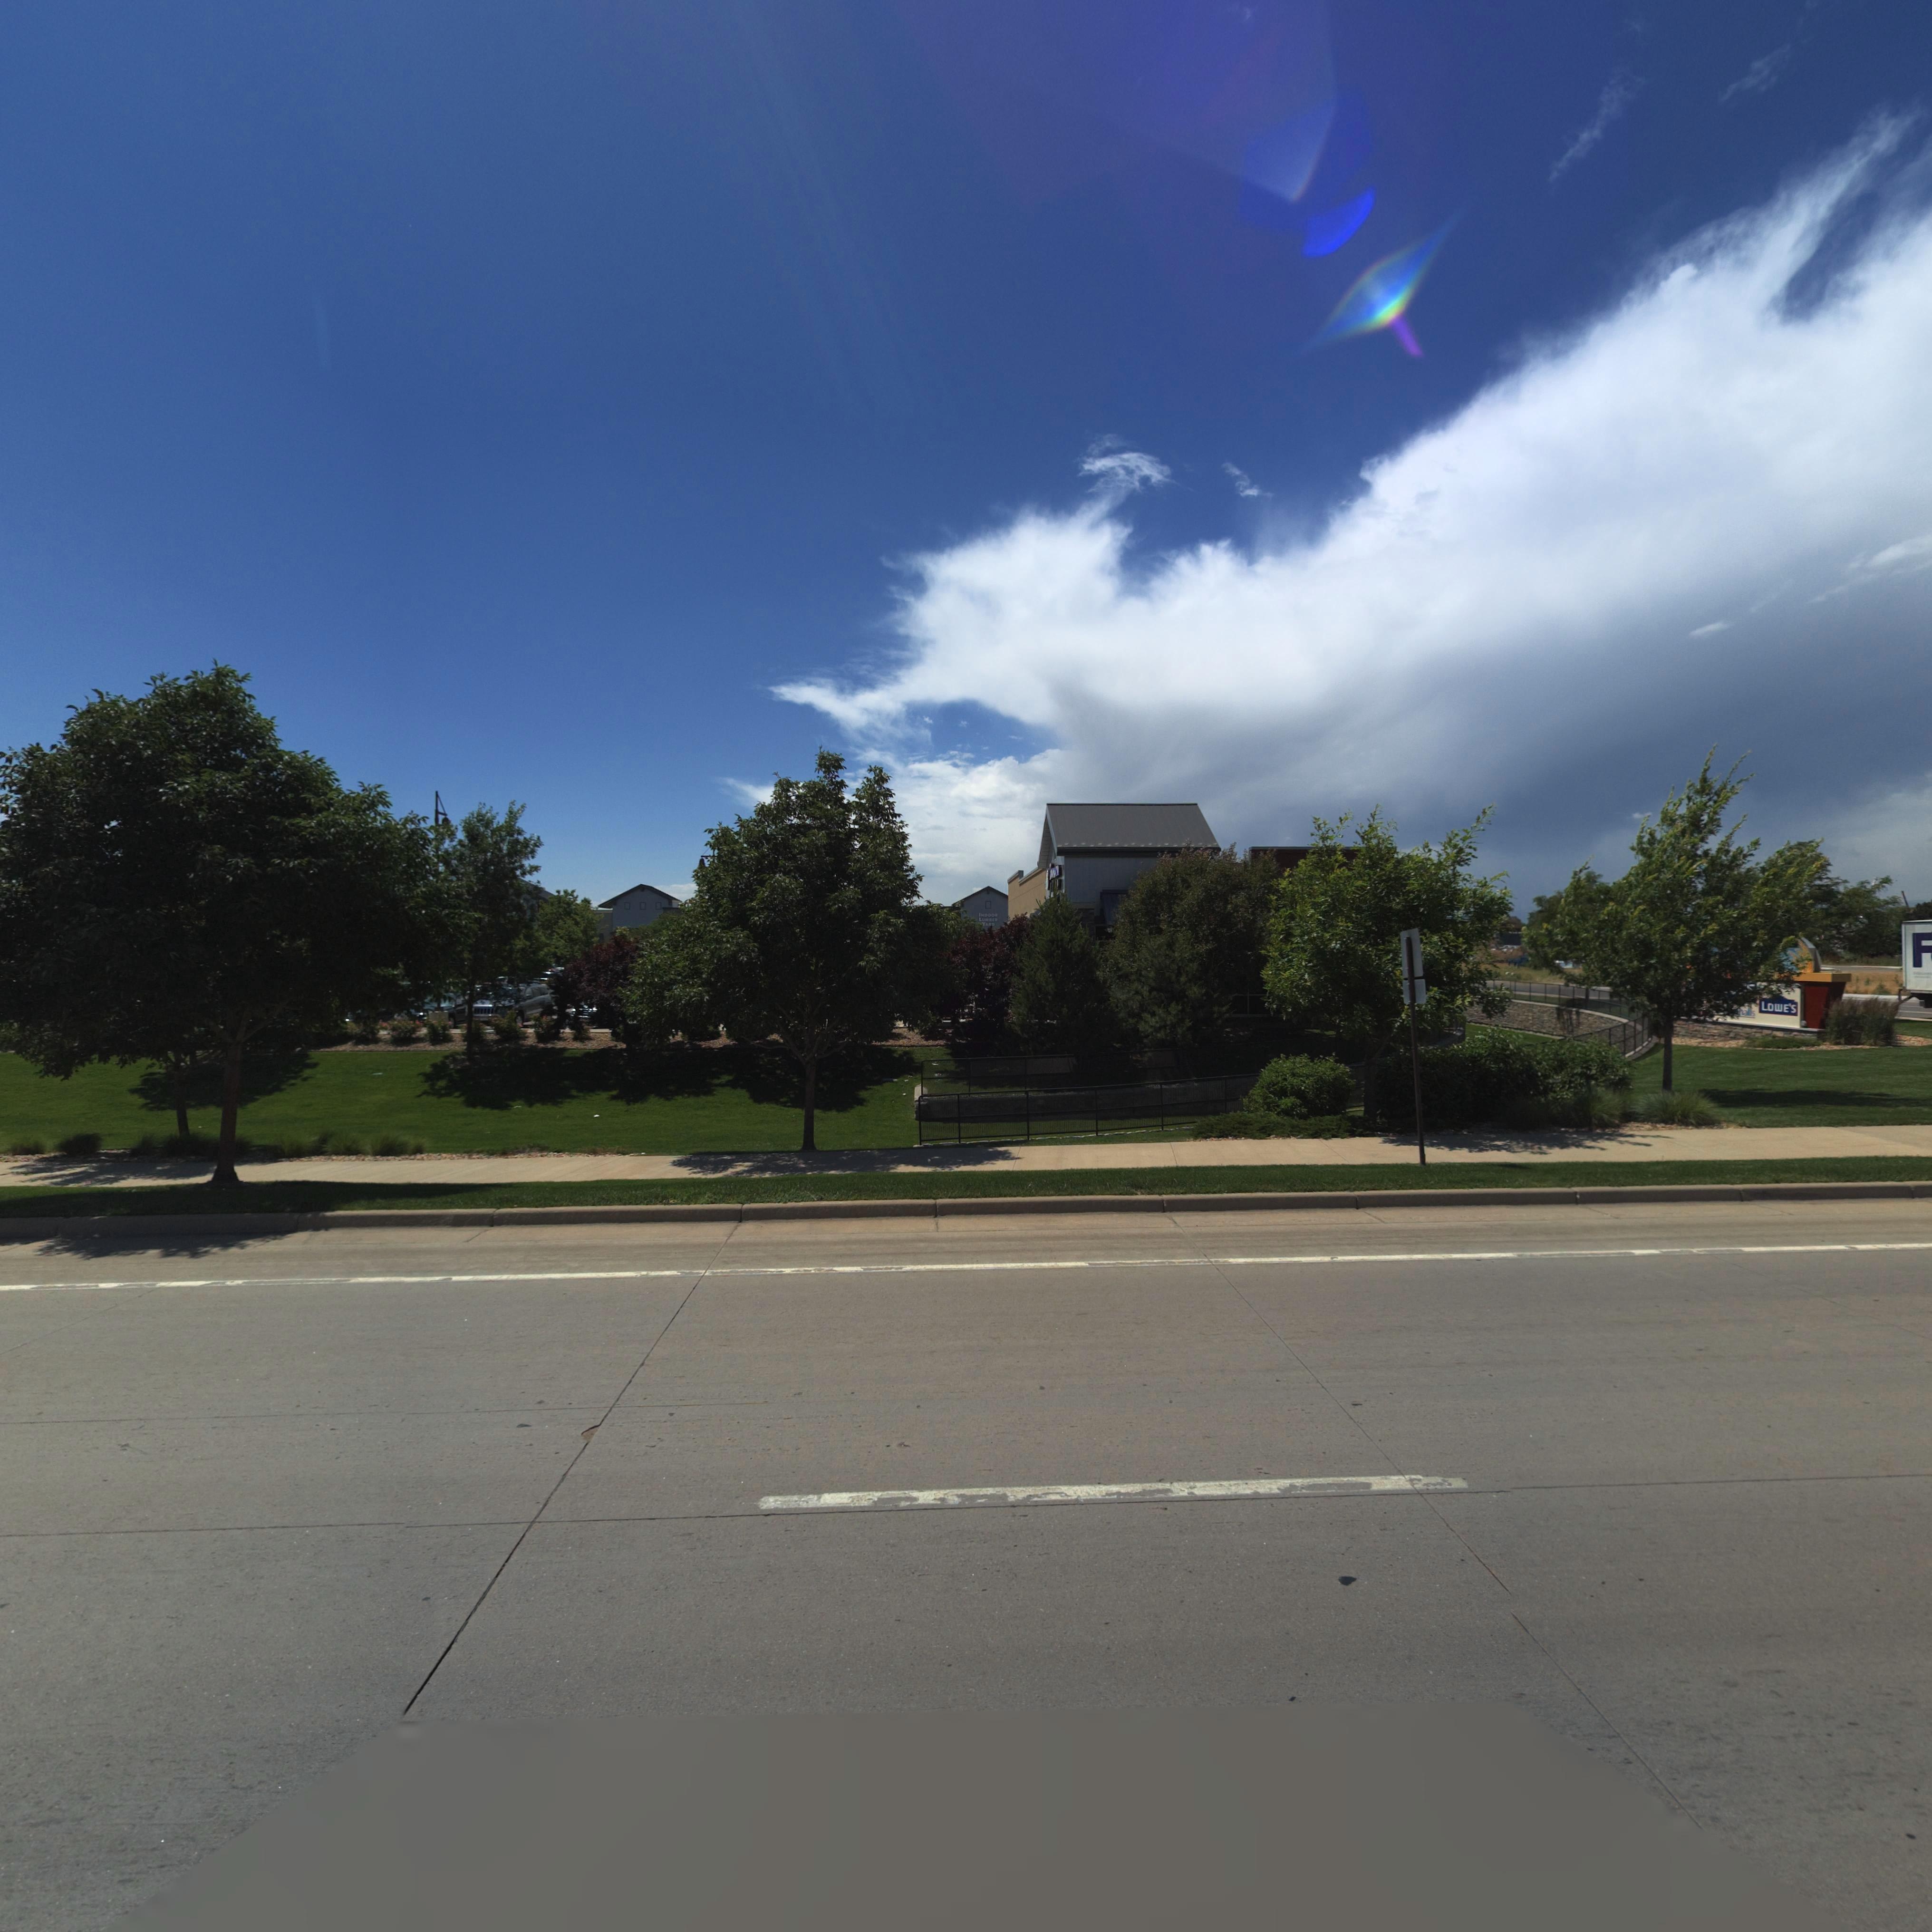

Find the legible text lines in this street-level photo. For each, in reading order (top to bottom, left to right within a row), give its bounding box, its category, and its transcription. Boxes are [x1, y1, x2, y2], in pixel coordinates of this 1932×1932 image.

[1048, 862, 1060, 880] BusinessName: Panera
[1761, 1001, 1797, 1013] BusinessName: LOWE'S